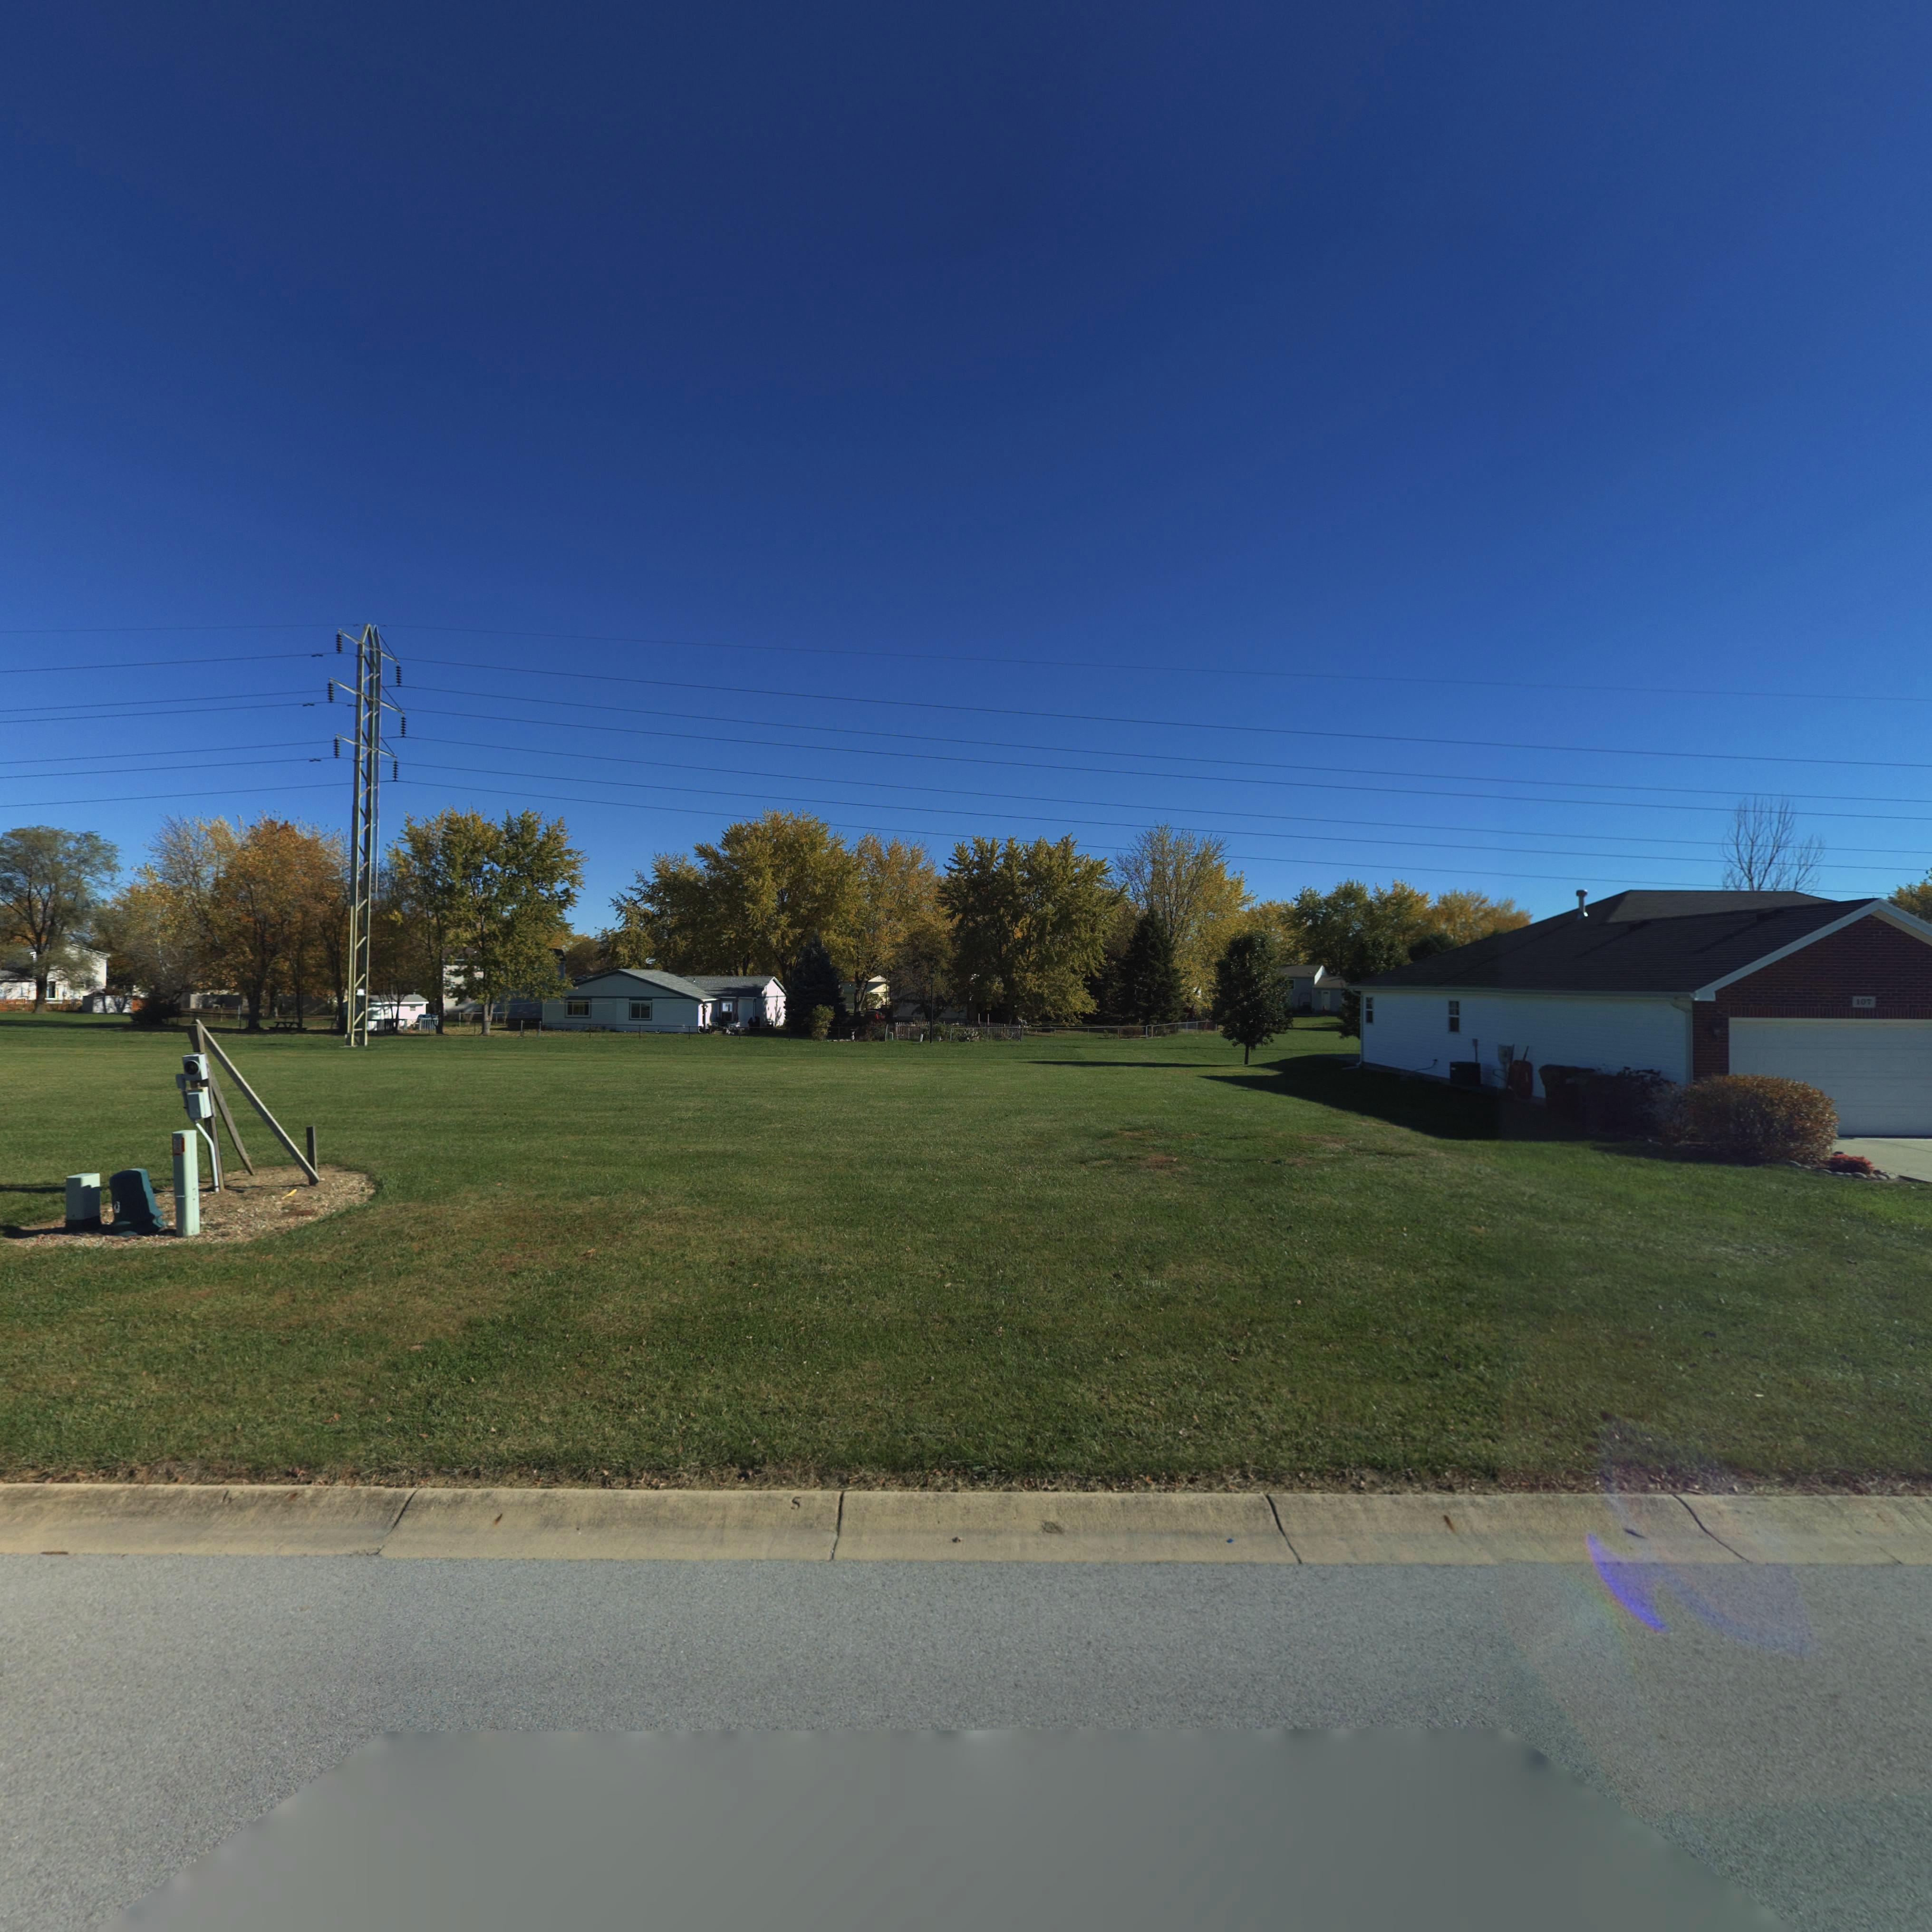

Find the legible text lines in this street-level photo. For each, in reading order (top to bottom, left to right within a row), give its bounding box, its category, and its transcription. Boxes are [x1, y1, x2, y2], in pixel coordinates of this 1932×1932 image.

[1855, 997, 1873, 1006] StreetNumber: 107